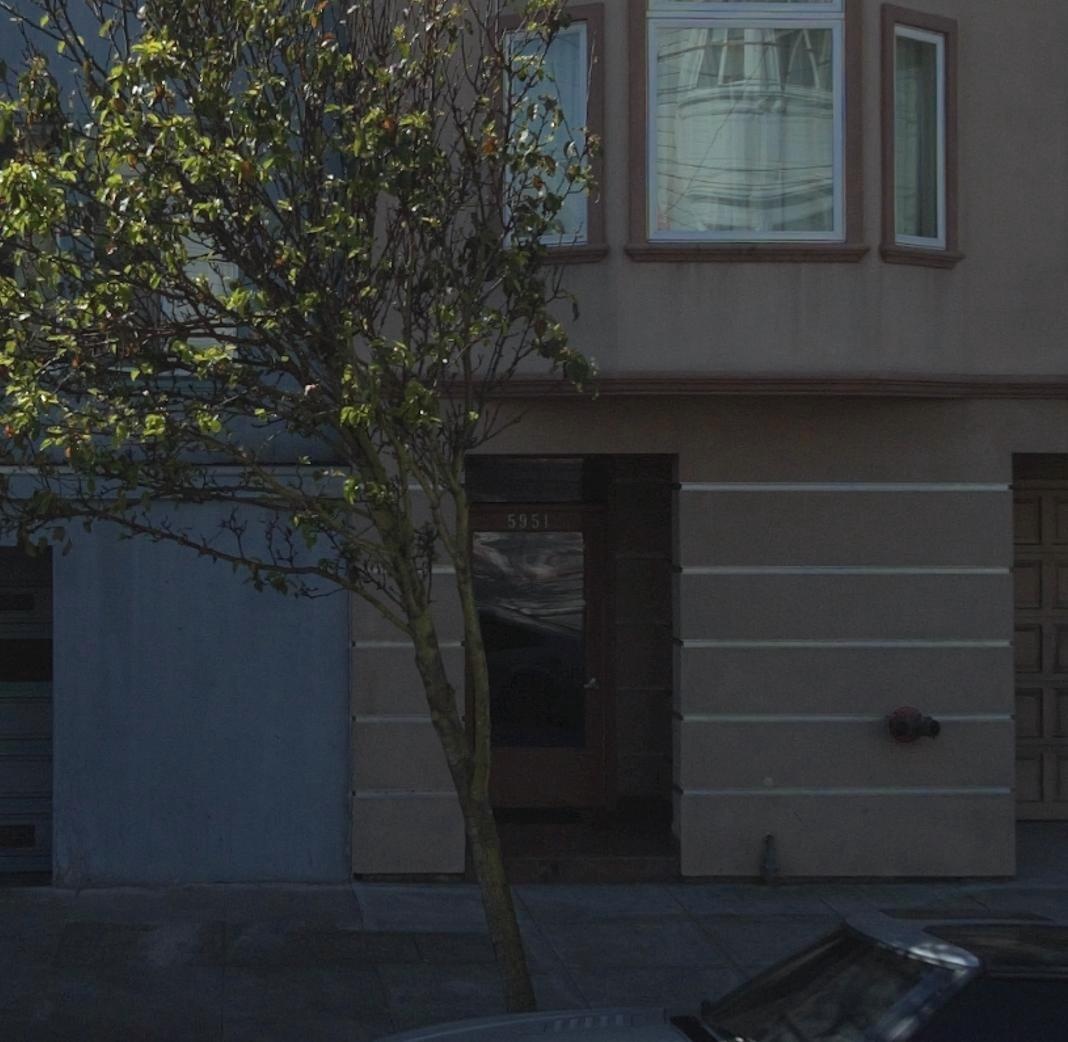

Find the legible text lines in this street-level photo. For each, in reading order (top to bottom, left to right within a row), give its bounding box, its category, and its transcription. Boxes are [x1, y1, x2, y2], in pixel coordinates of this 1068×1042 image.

[506, 512, 550, 531] StreetNumber: 5951